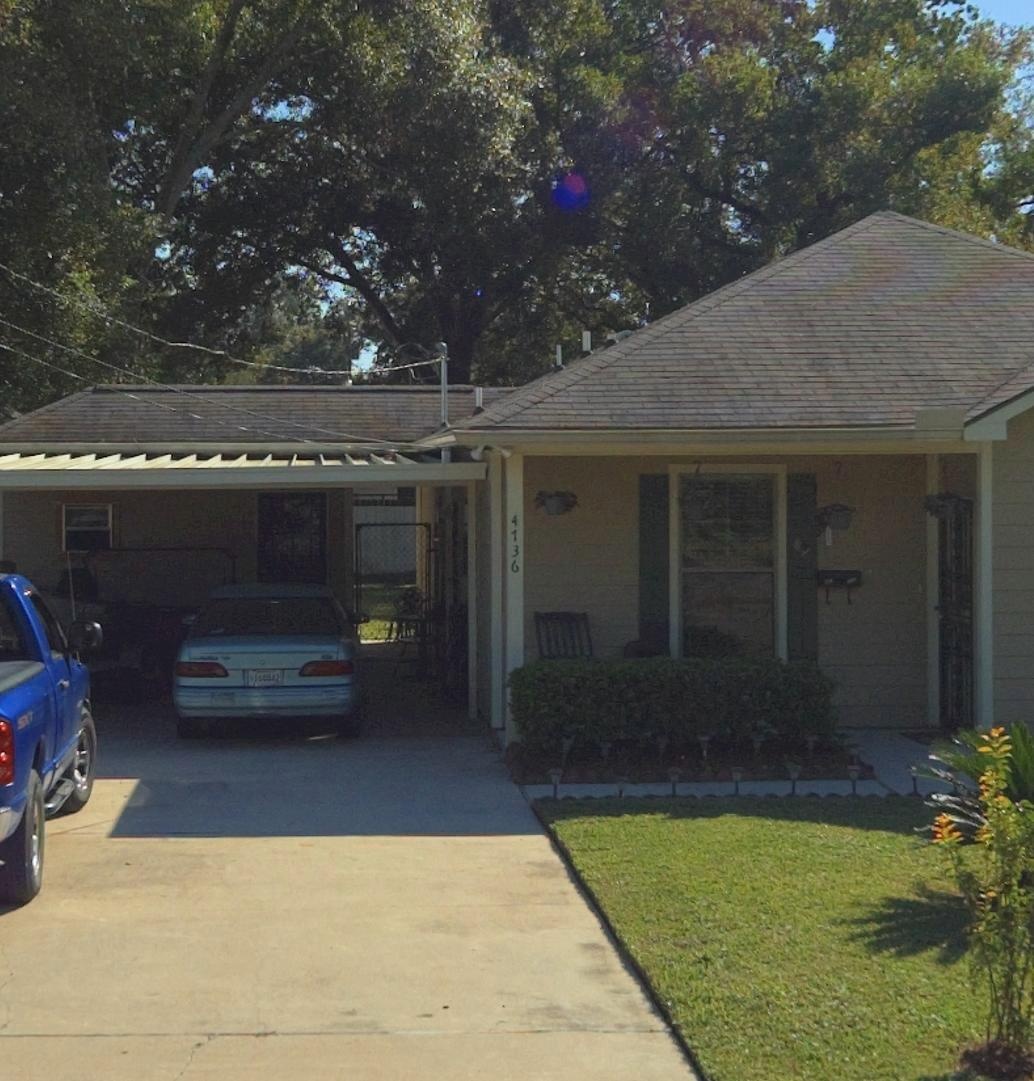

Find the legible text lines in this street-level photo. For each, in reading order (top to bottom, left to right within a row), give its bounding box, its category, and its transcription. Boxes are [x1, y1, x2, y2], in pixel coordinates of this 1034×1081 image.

[510, 514, 520, 575] StreetNumber: 4736